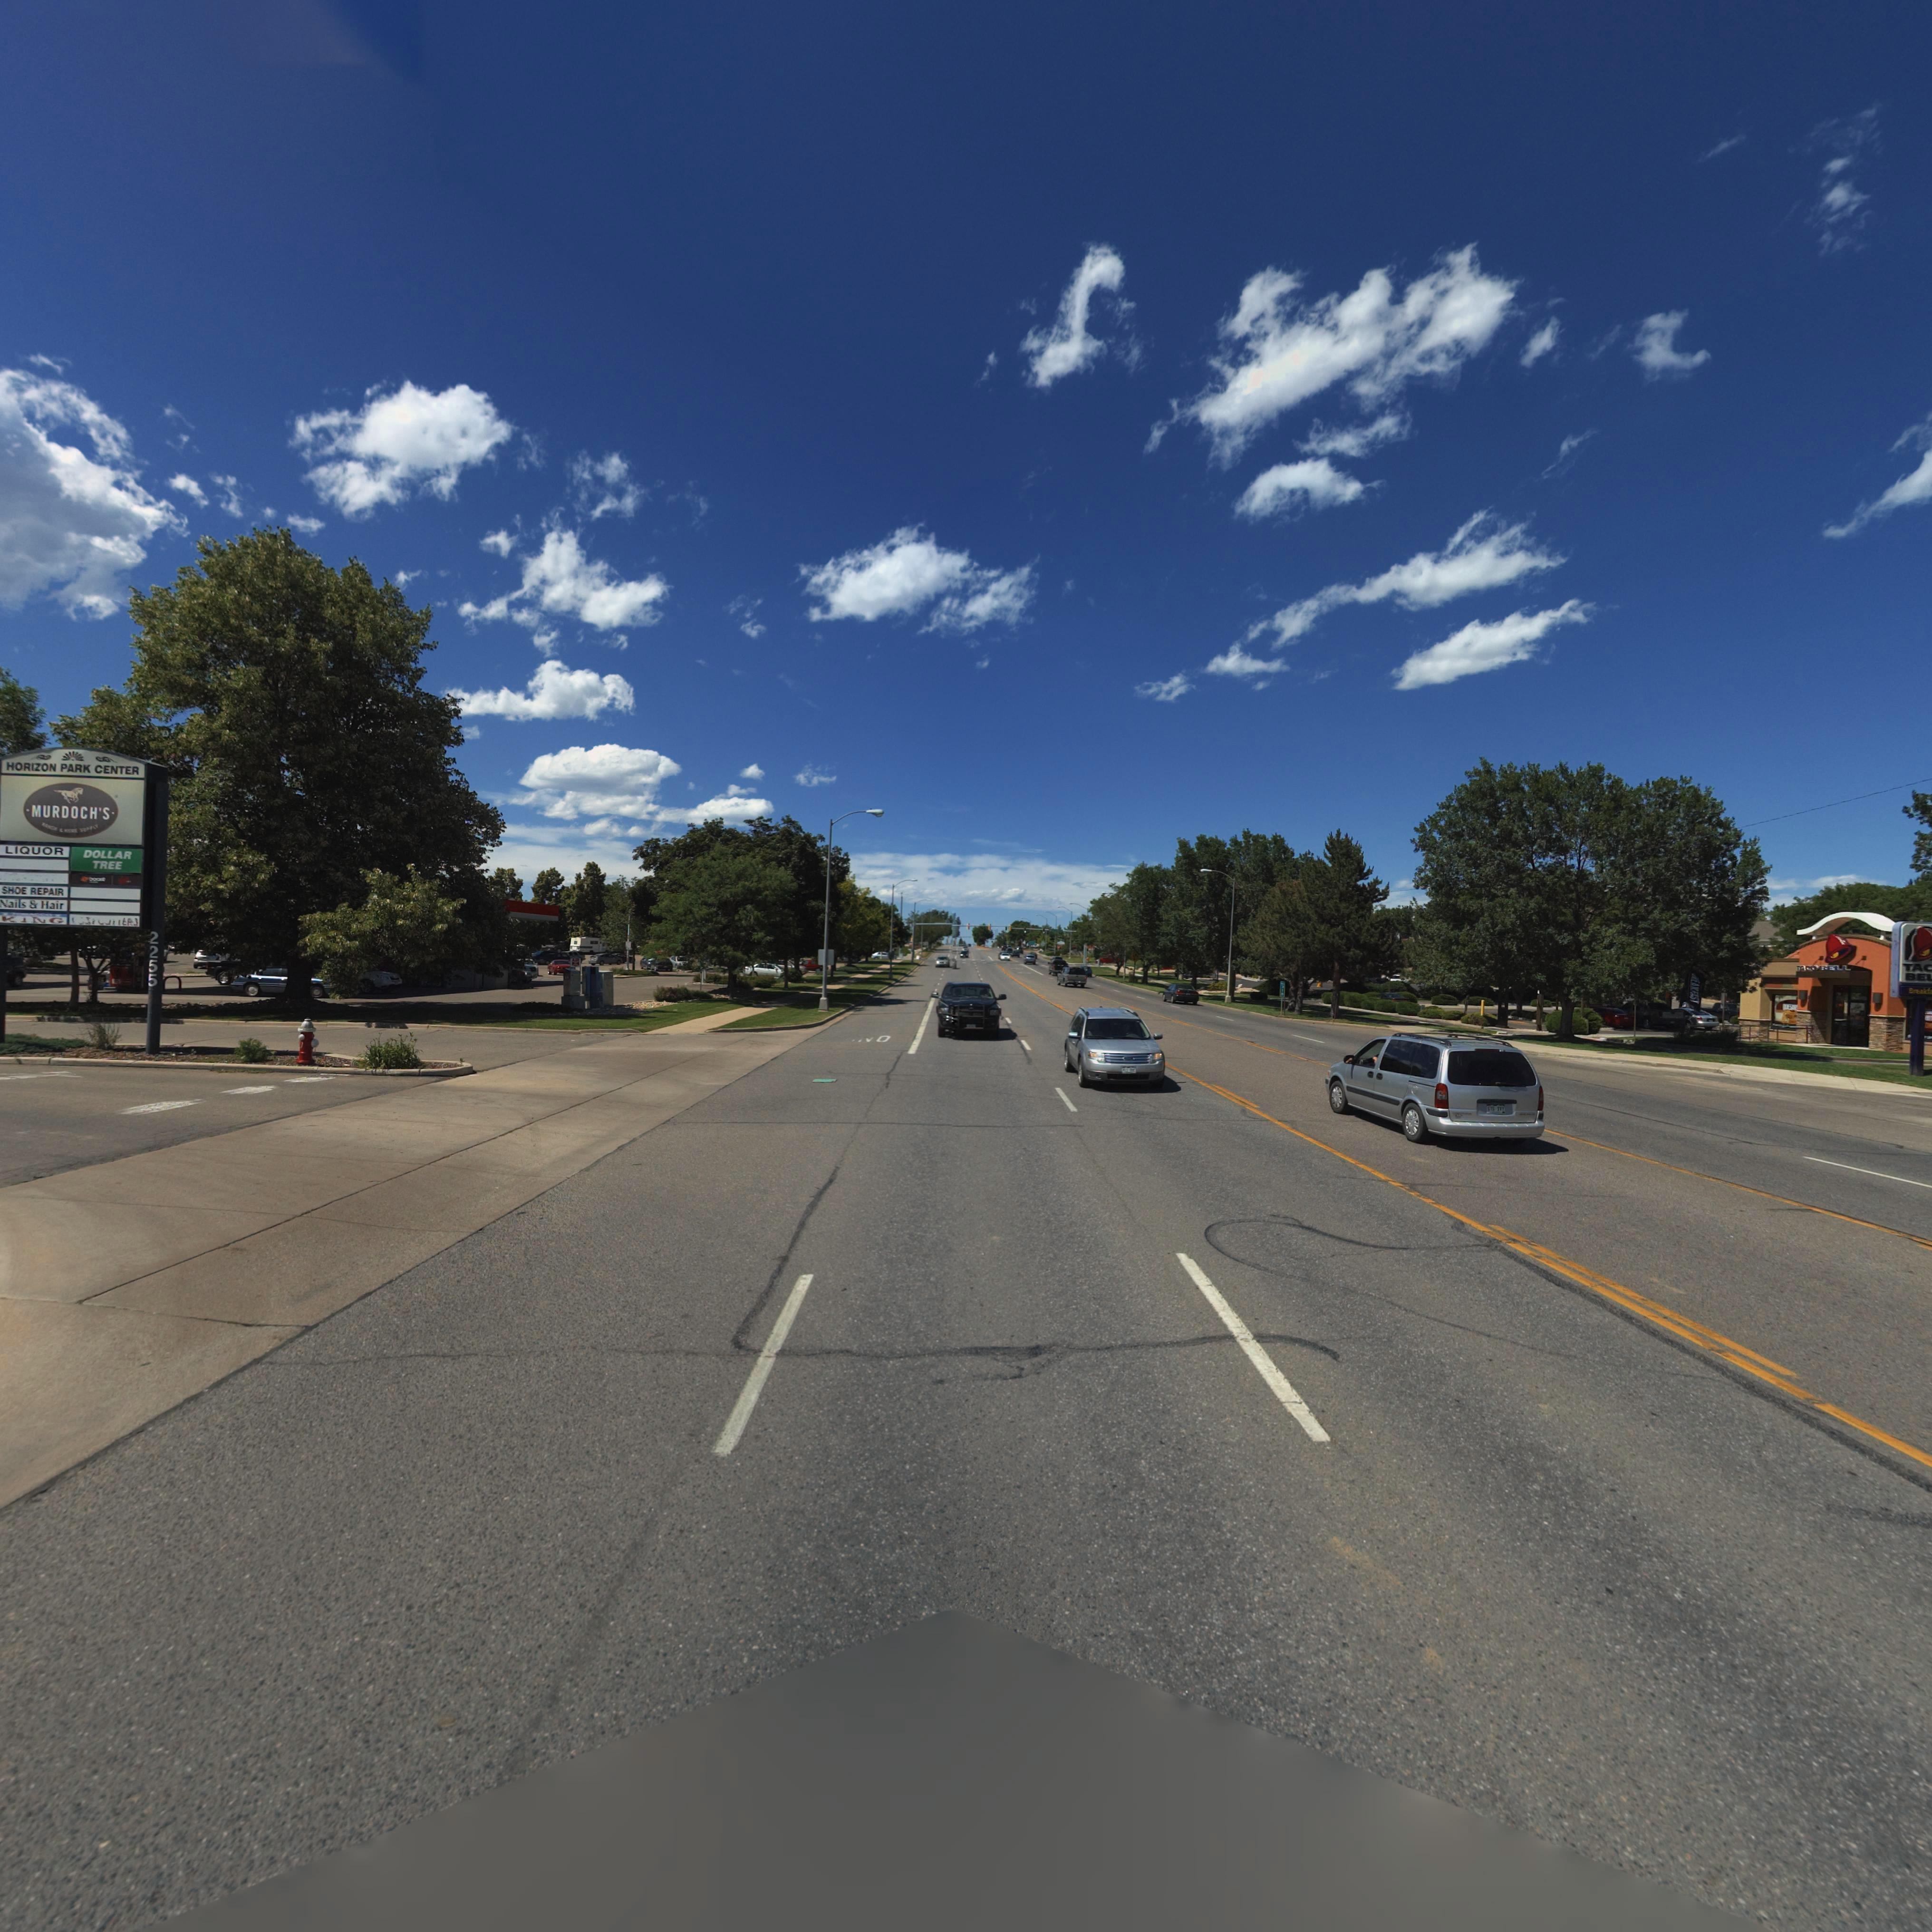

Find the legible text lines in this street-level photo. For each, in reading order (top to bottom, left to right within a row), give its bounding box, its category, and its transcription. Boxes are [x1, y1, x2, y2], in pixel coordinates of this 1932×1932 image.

[31, 804, 110, 820] BusinessName: MURDOCH'S
[82, 849, 132, 860] BusinessName: DOLLAR
[92, 860, 123, 870] BusinessName: TREE
[88, 876, 106, 881] BusinessName: *oo**
[1, 915, 65, 924] BusinessName: K*NG
[71, 916, 138, 926] BusinessName: **** ****ER*
[148, 930, 159, 987] StreetNumber: 2255
[1796, 965, 1850, 971] BusinessName: TACO *ELL
[1902, 963, 1931, 972] BusinessName: TA*
[1905, 972, 1931, 981] BusinessName: BE*